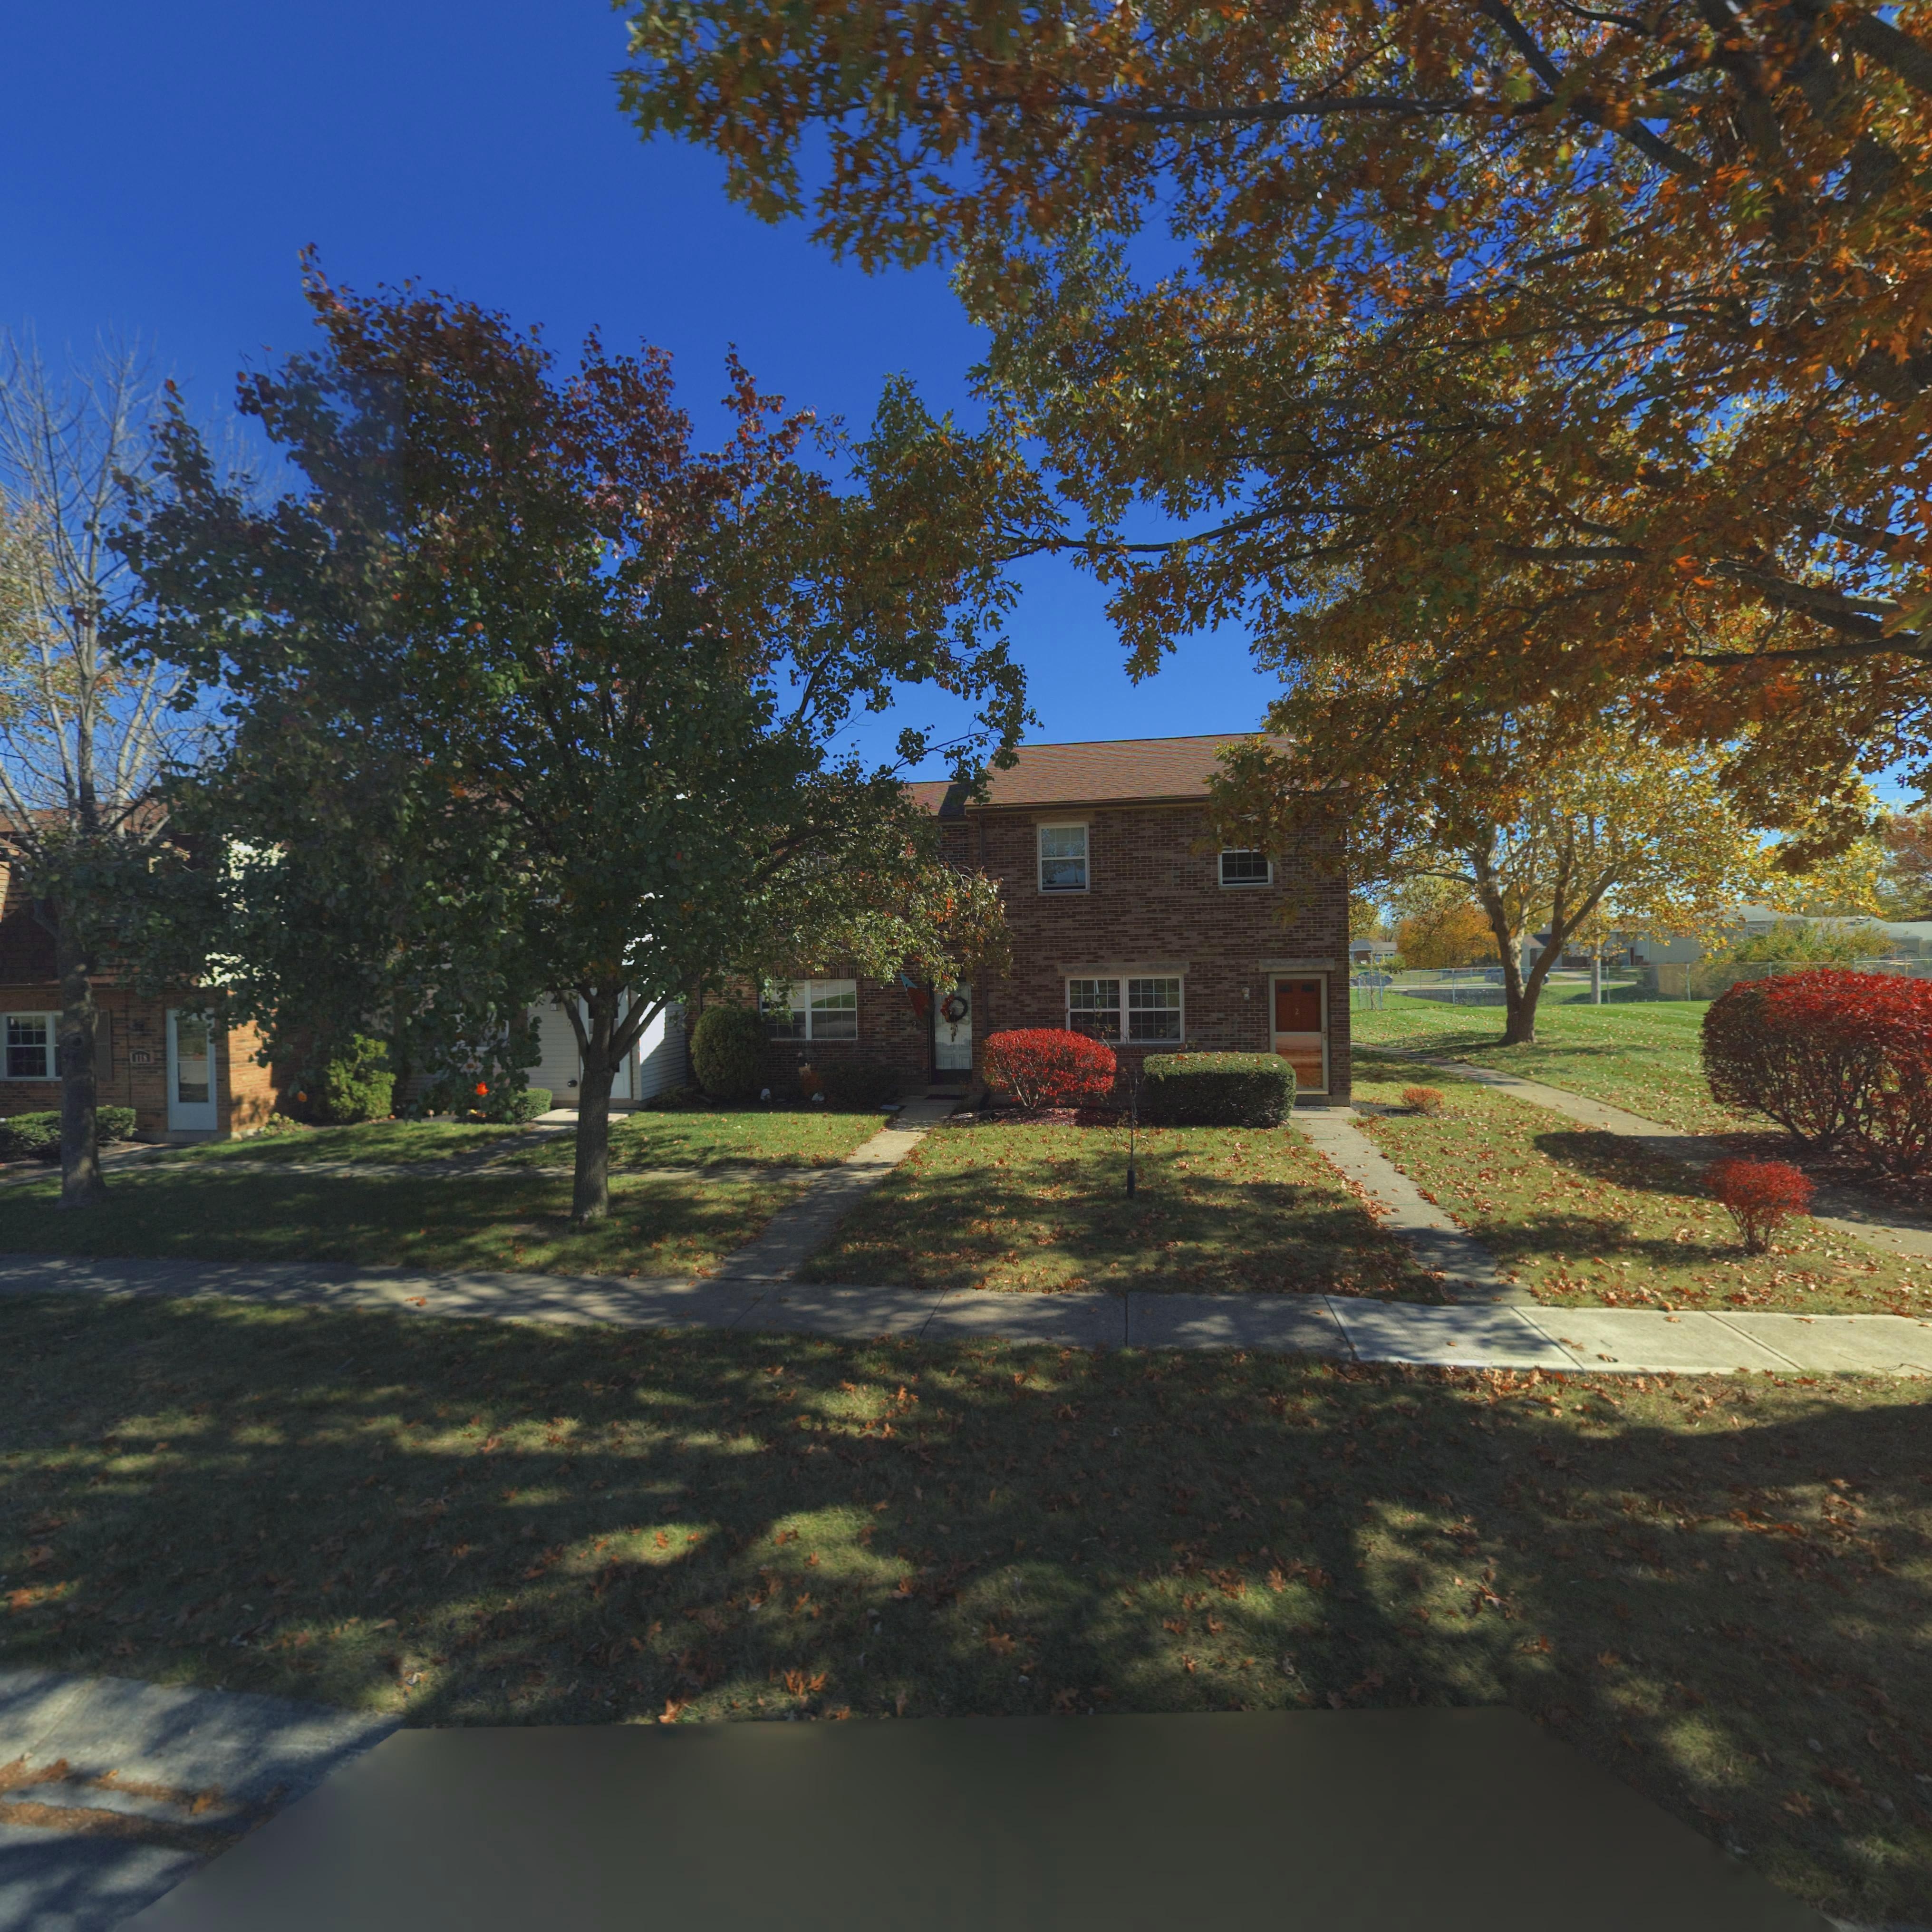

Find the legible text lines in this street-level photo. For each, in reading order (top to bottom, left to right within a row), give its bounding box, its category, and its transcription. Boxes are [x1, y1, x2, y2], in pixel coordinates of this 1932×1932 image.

[1294, 1007, 1300, 1016] StreetNumber: 2
[134, 1053, 149, 1064] StreetNumber: 118